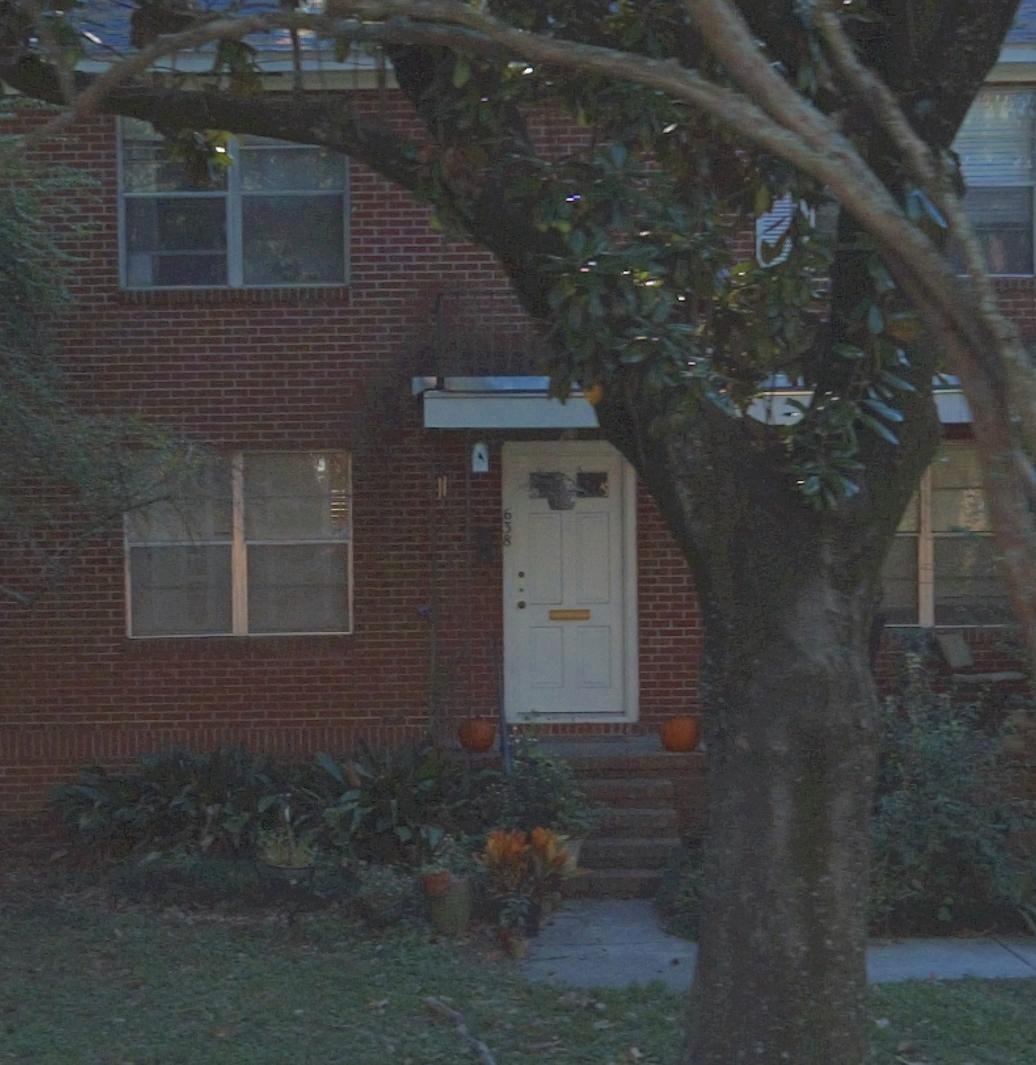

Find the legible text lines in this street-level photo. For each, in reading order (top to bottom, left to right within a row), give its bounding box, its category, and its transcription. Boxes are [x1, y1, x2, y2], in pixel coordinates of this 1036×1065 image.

[501, 506, 514, 549] StreetNumber: 638